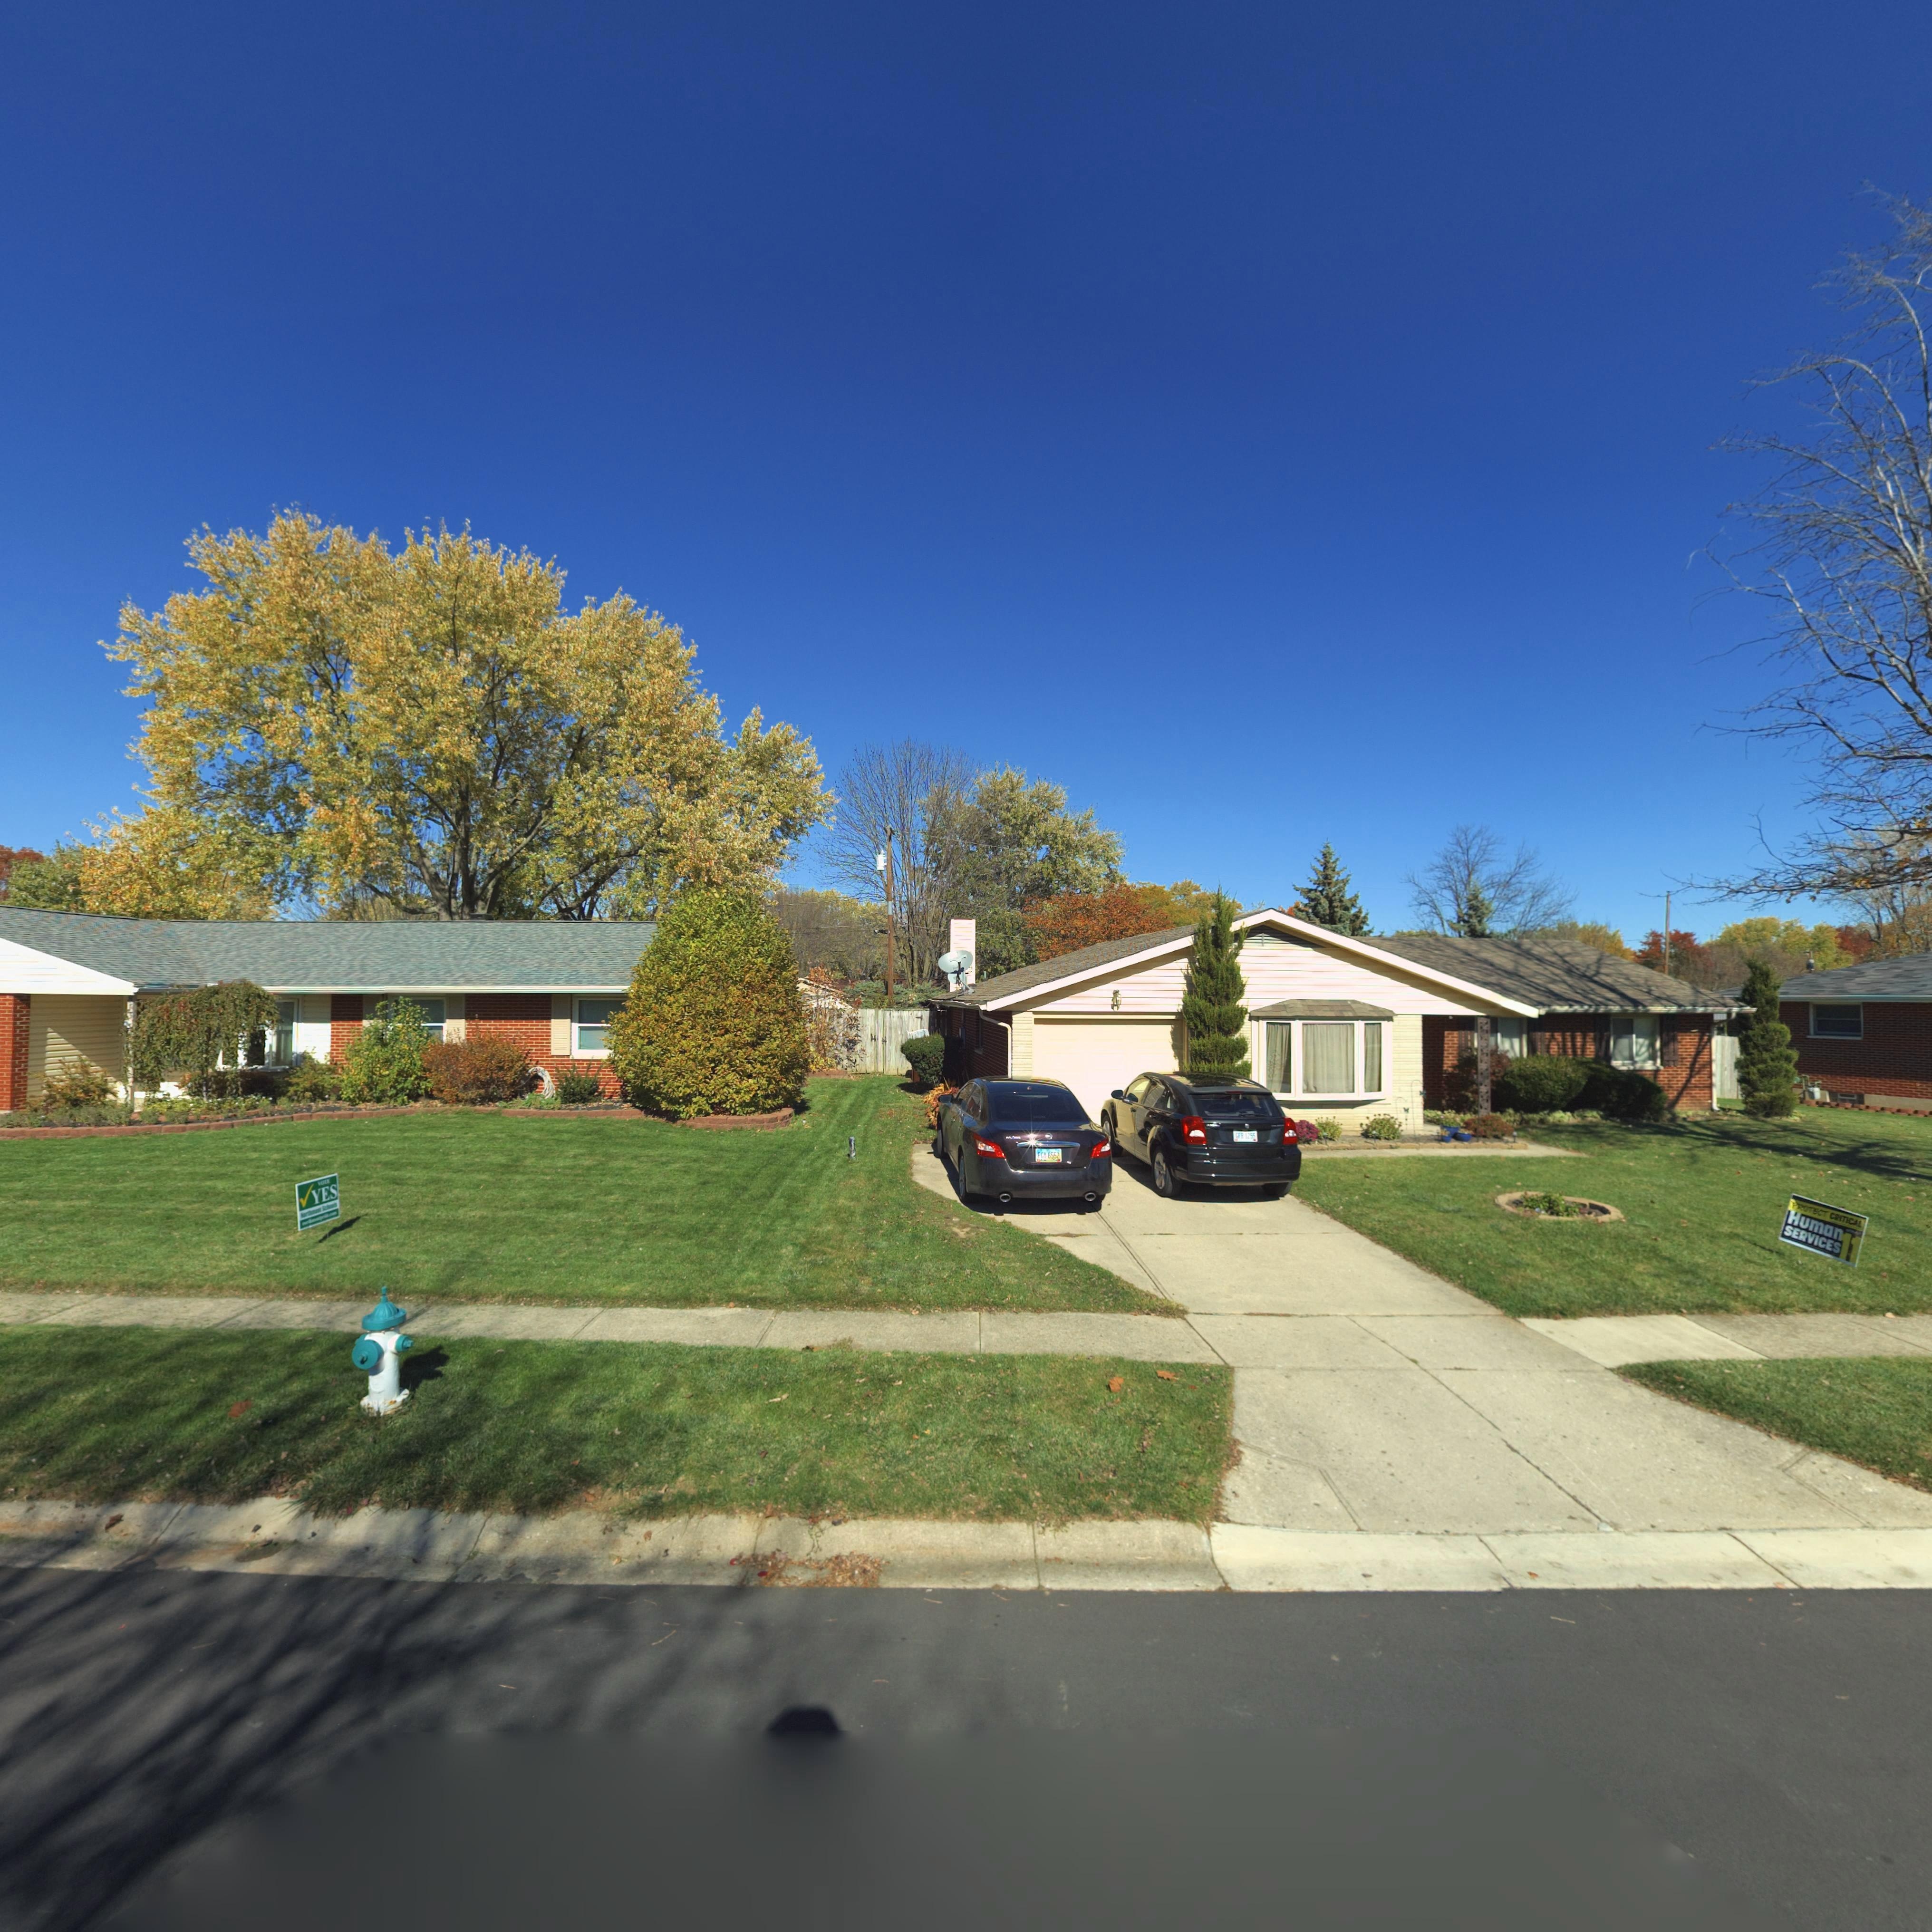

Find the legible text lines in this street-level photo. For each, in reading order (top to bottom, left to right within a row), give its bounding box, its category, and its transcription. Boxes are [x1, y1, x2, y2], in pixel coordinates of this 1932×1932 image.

[127, 1003, 133, 1019] StreetNumber: 13